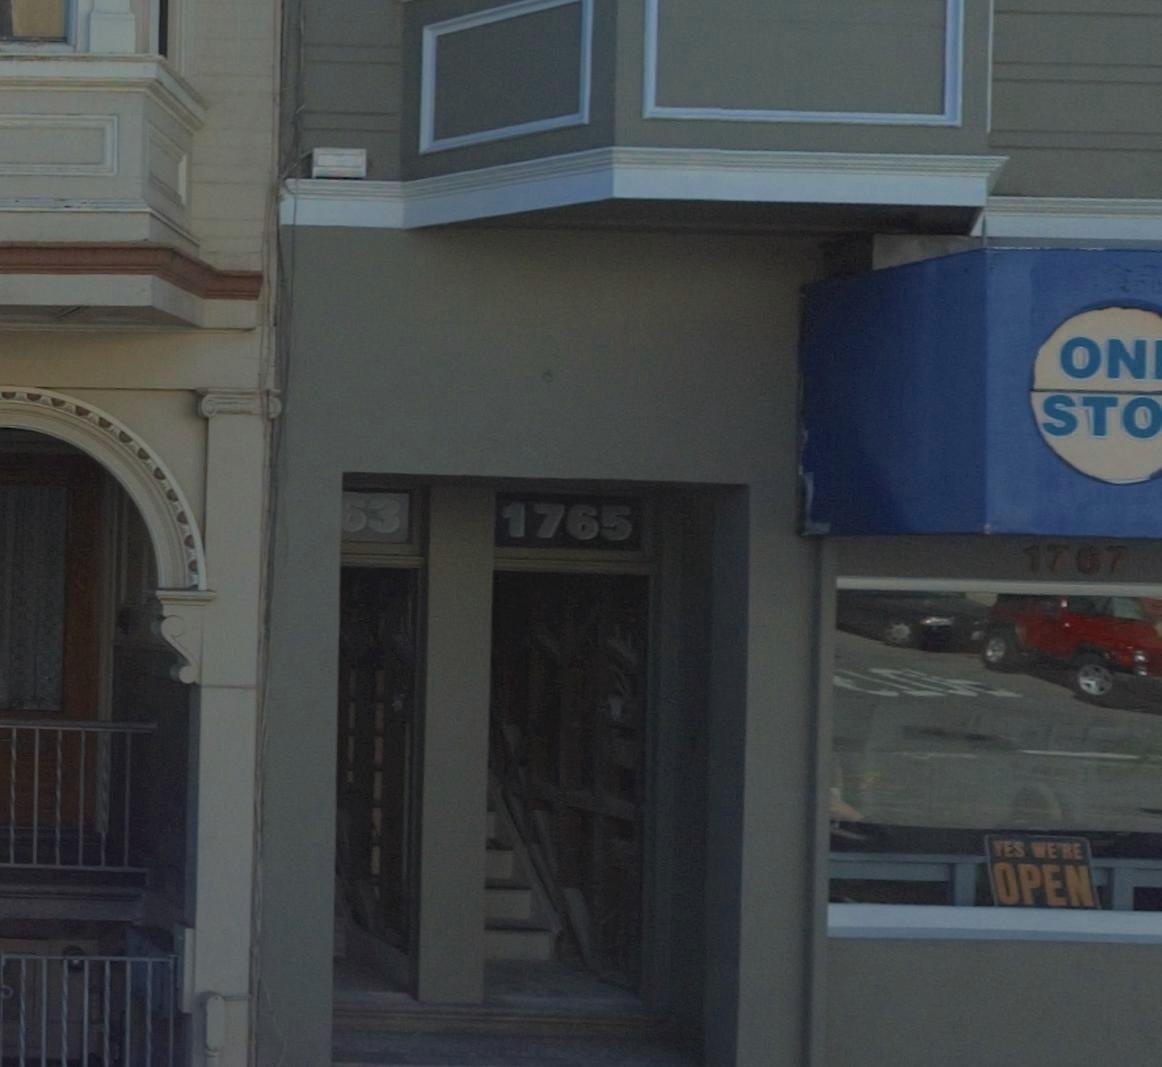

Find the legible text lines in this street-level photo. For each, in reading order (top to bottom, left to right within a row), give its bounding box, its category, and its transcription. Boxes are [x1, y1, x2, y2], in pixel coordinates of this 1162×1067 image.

[1055, 333, 1152, 384] BusinessName: ON
[1040, 391, 1124, 438] BusinessName: ST
[366, 494, 403, 536] StreetNumber: 3
[500, 500, 635, 543] StreetNumber: 1765
[1019, 543, 1136, 578] StreetNumber: 1767
[989, 839, 1085, 861] None: YES WE'RE
[989, 861, 1098, 909] None: OPEN